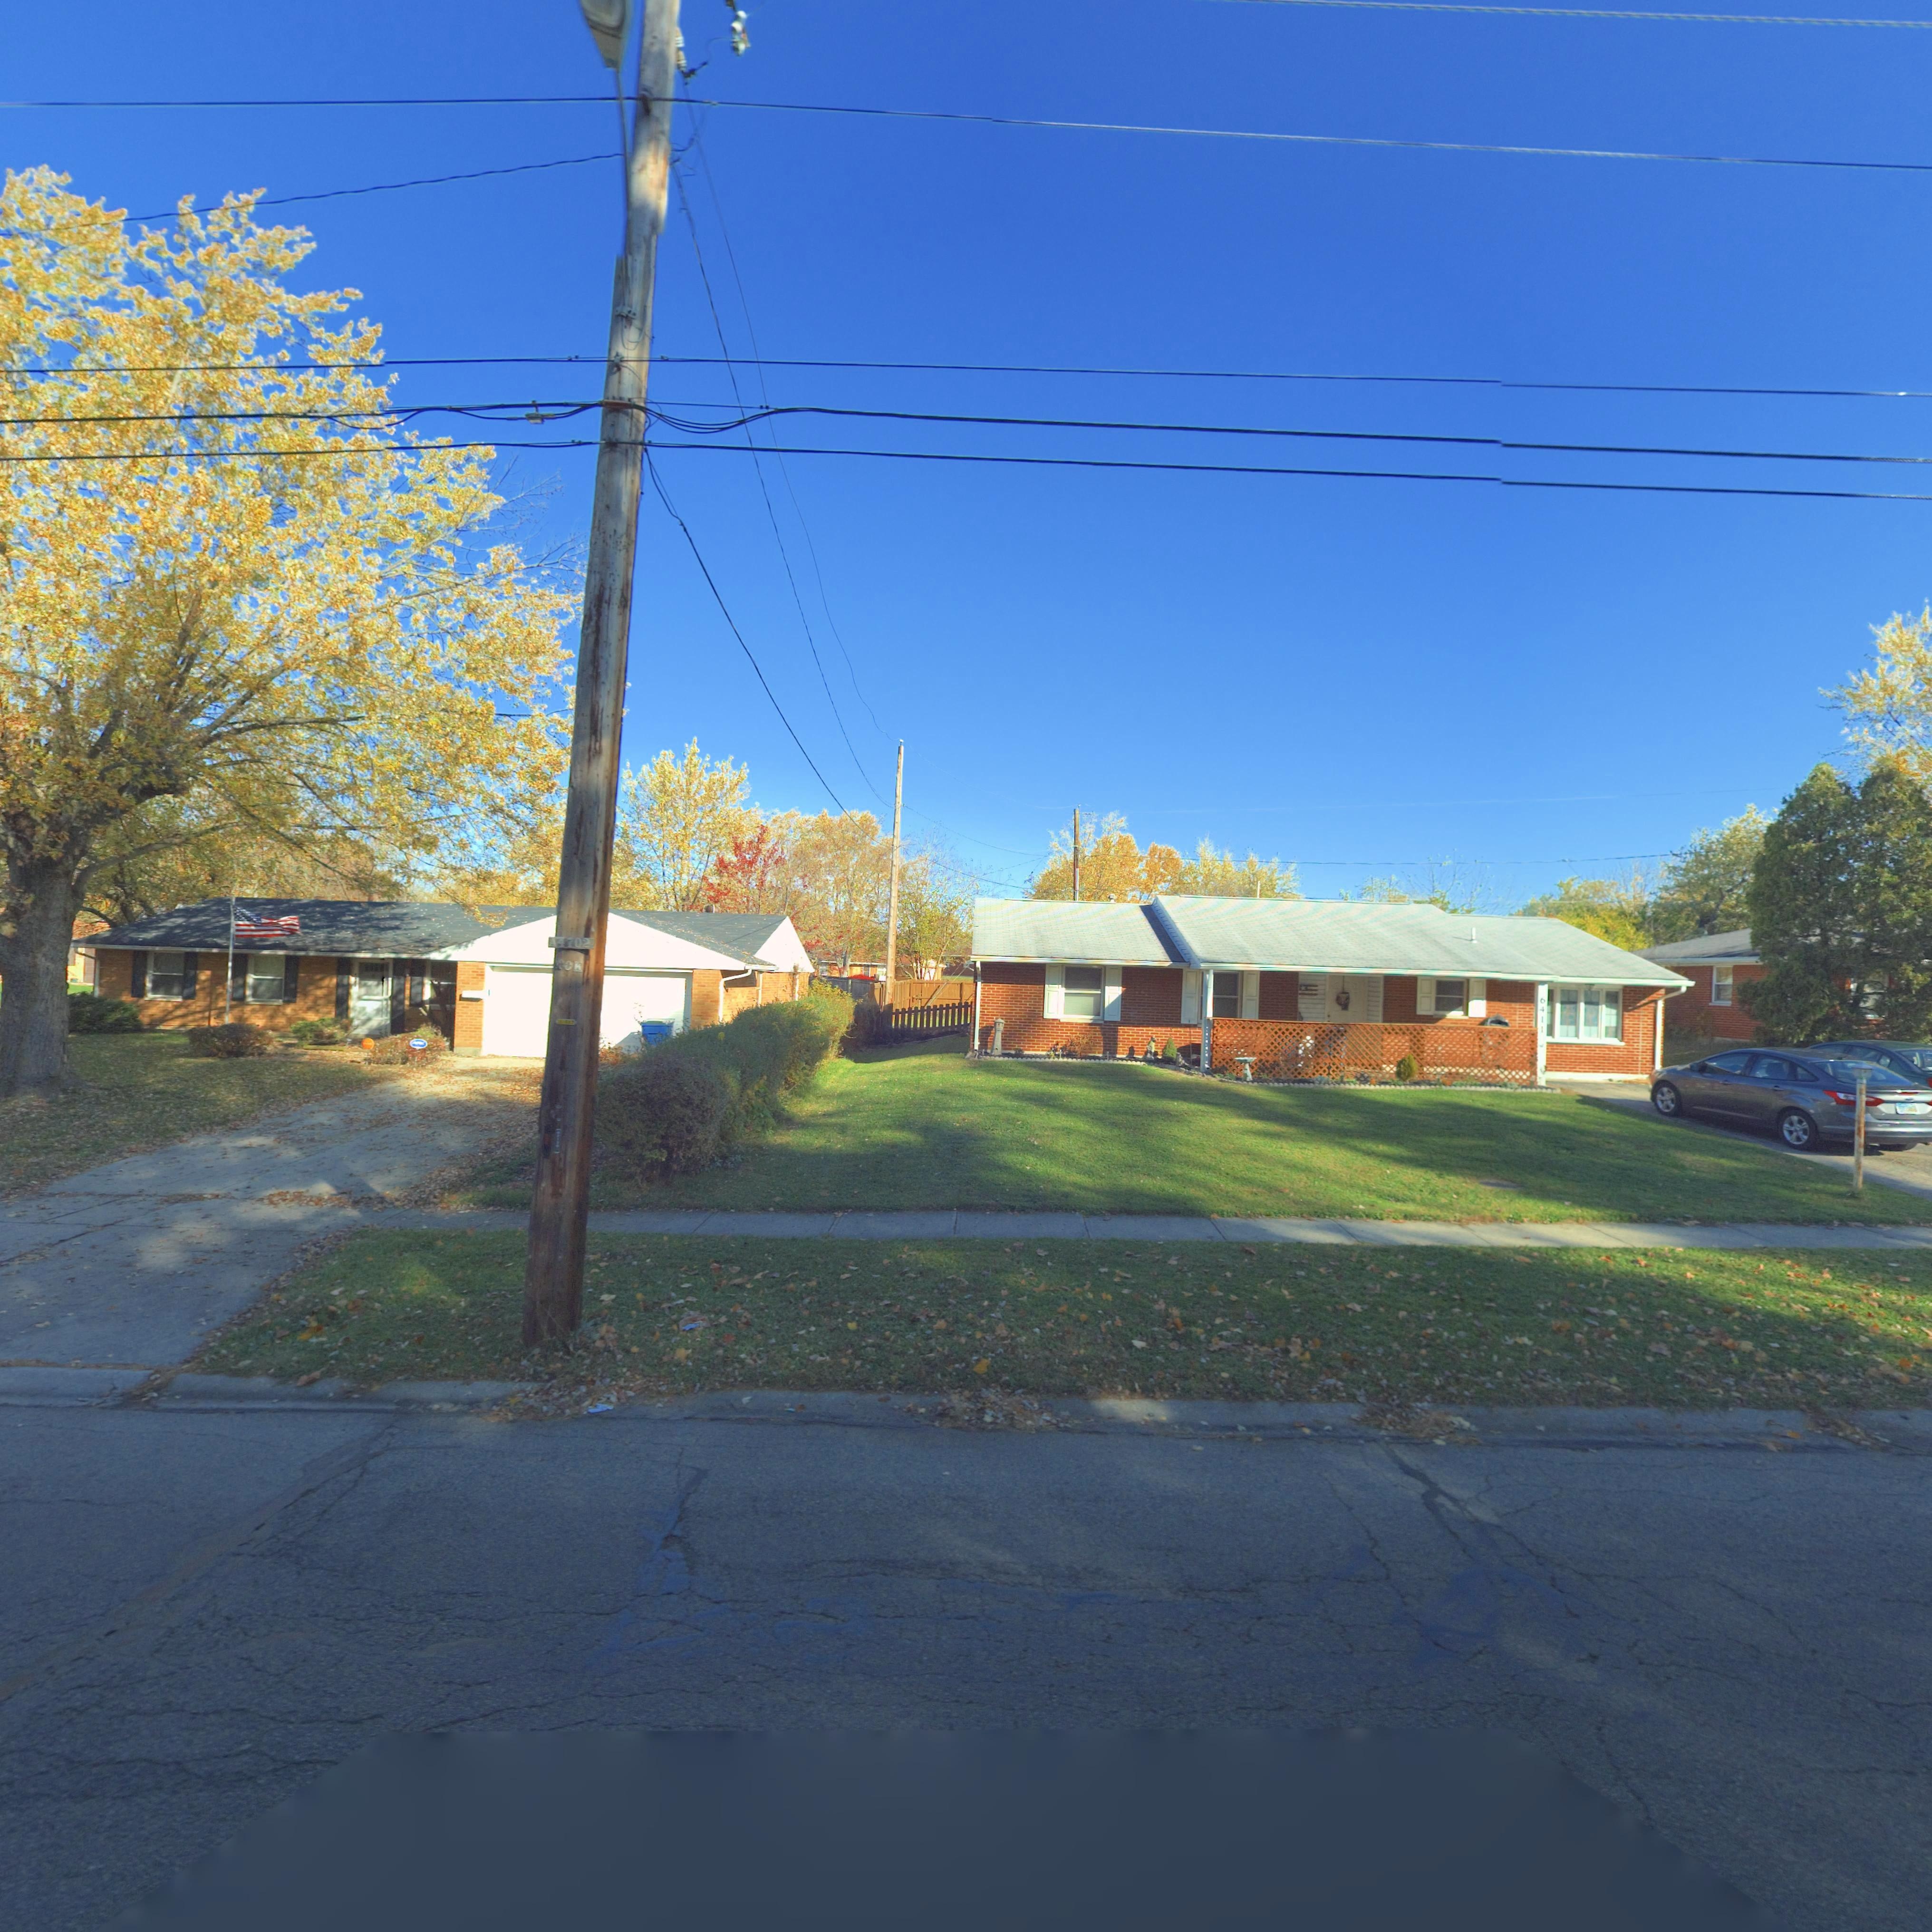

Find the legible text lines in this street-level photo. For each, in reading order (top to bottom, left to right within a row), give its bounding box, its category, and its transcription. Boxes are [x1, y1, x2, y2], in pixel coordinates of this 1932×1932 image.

[1539, 995, 1546, 1034] StreetNumber: 6411